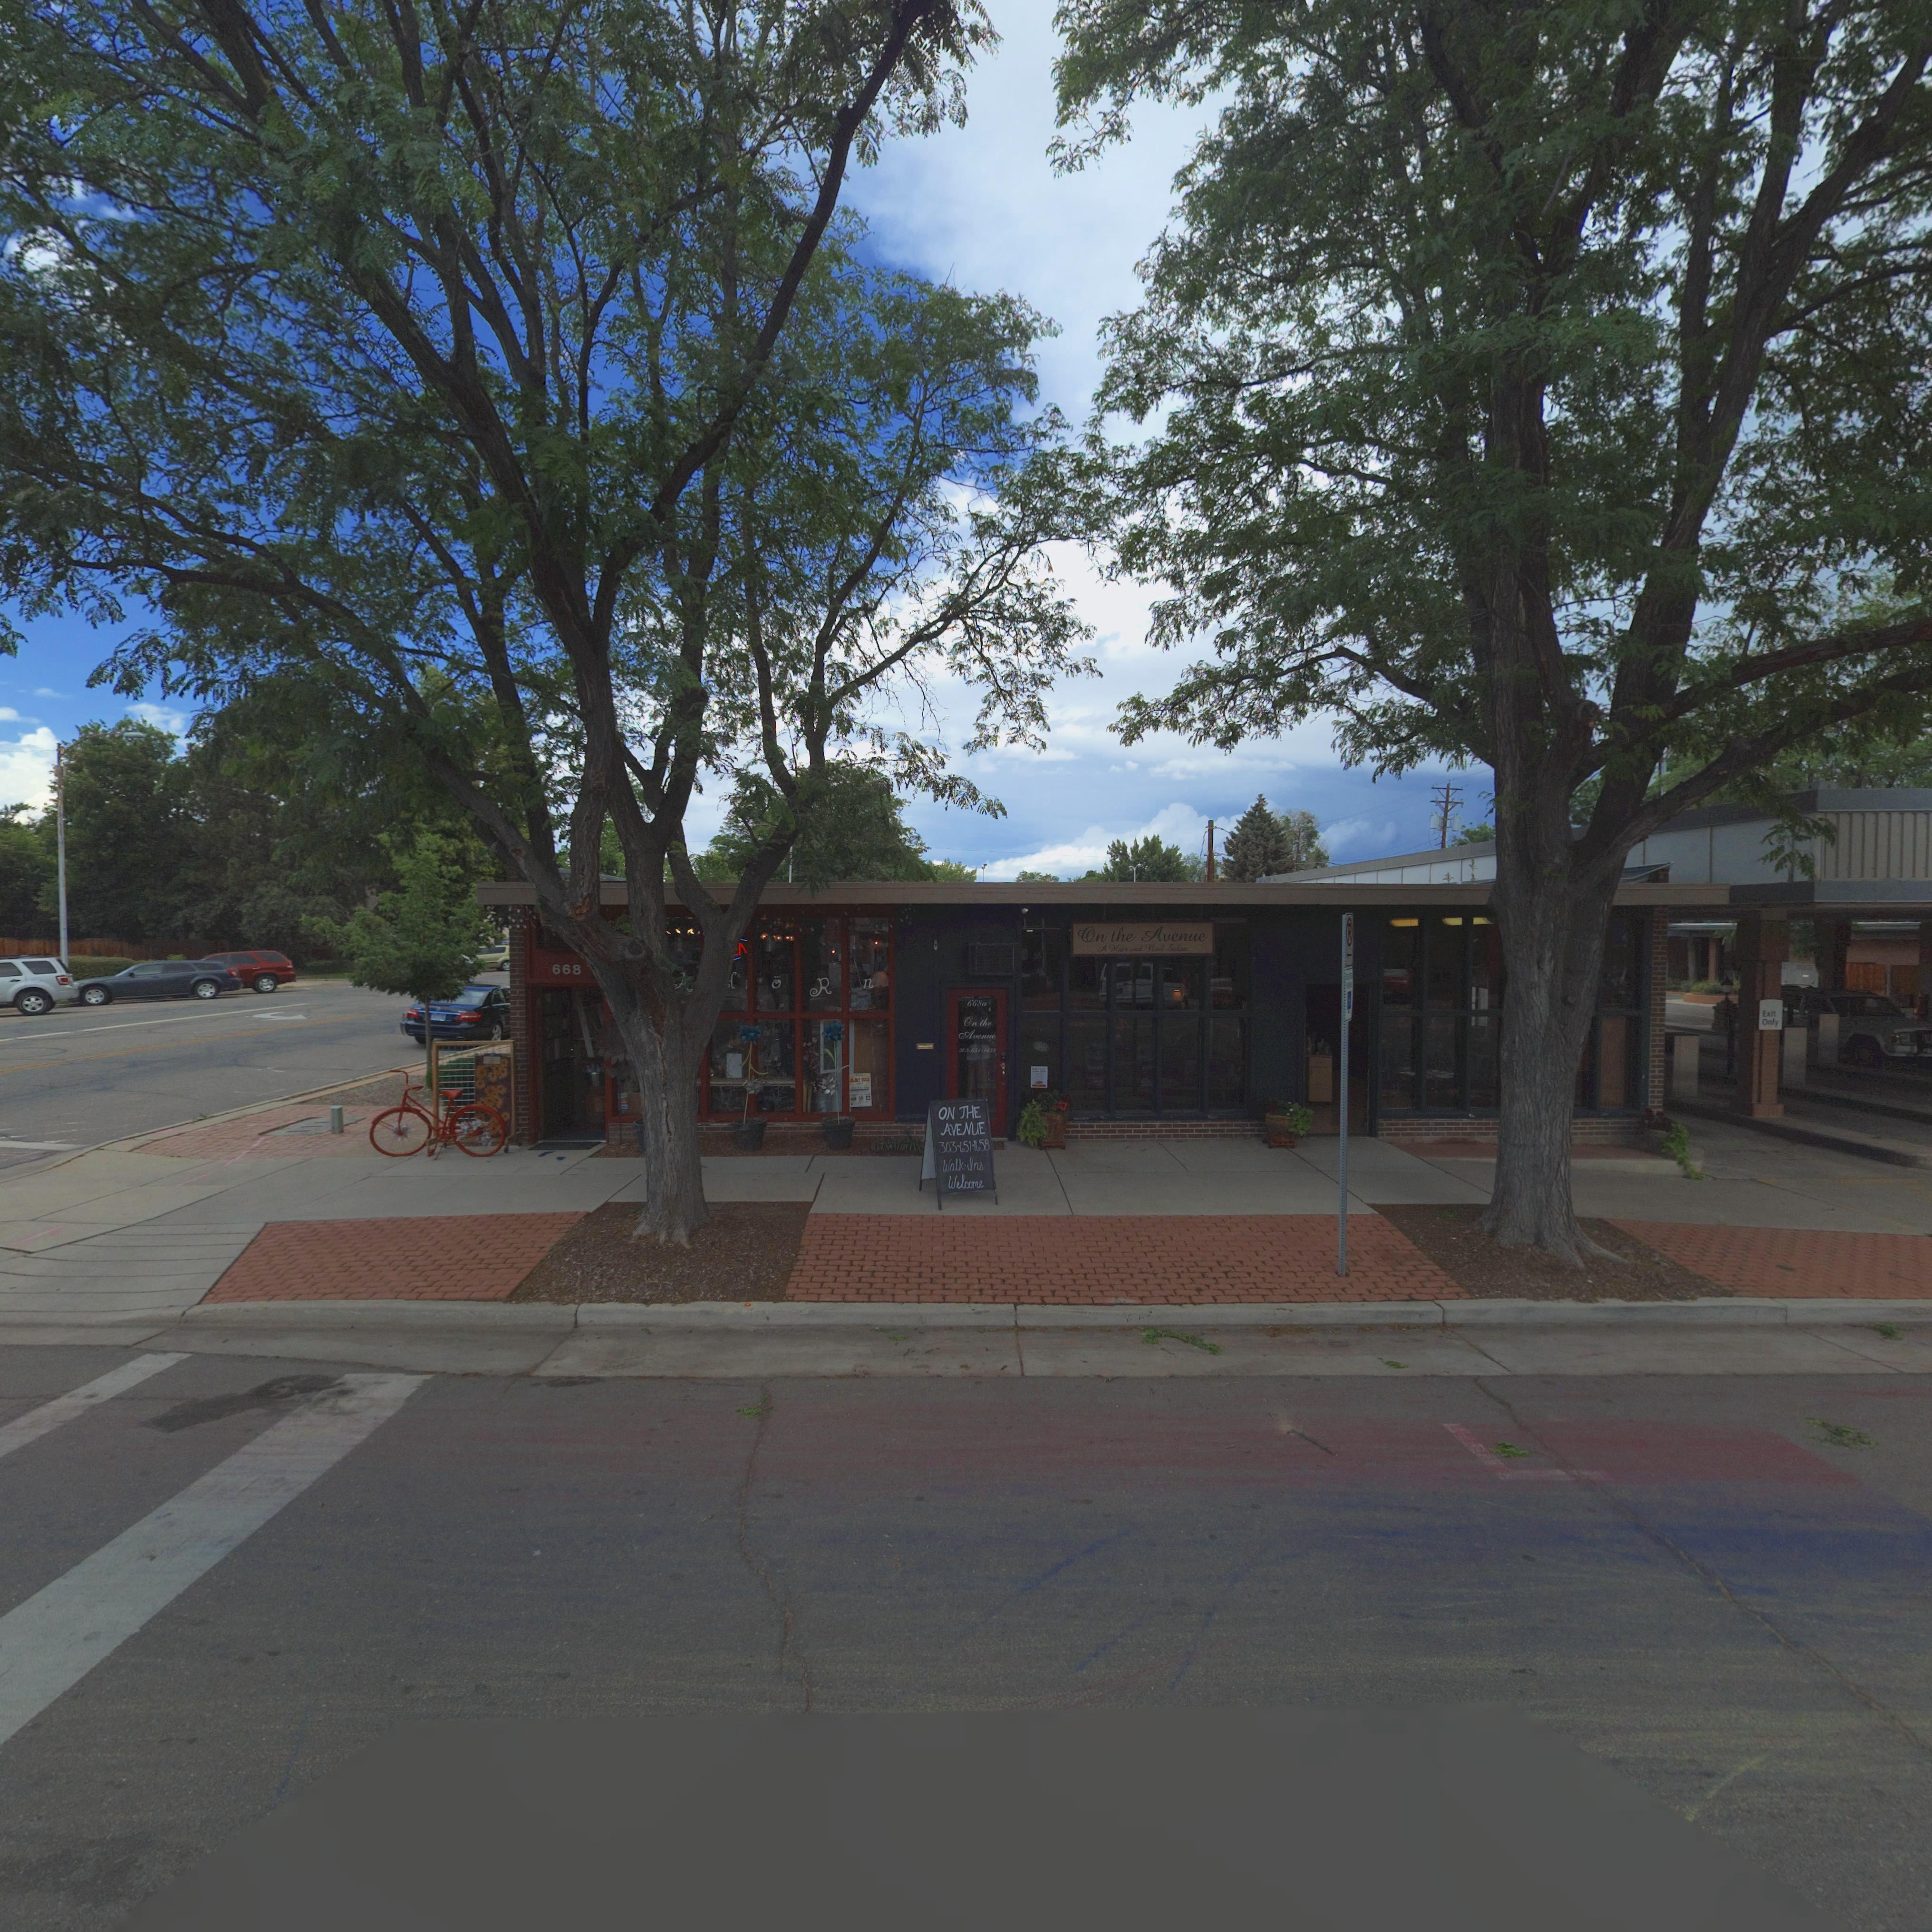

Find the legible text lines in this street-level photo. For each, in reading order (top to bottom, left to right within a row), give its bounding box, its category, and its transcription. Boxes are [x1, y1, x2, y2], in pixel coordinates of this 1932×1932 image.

[1077, 925, 1207, 942] BusinessName: On the Avenue
[552, 964, 581, 975] StreetNumber: 668
[967, 999, 983, 1006] StreetNumber: 668
[982, 1002, 986, 1006] StreetNumber: a
[962, 1016, 992, 1026] BusinessName: On the
[958, 1029, 995, 1040] BusinessName: Avenue
[937, 1105, 981, 1121] BusinessName: ON THE
[939, 1121, 985, 1135] BusinessName: AVENUE